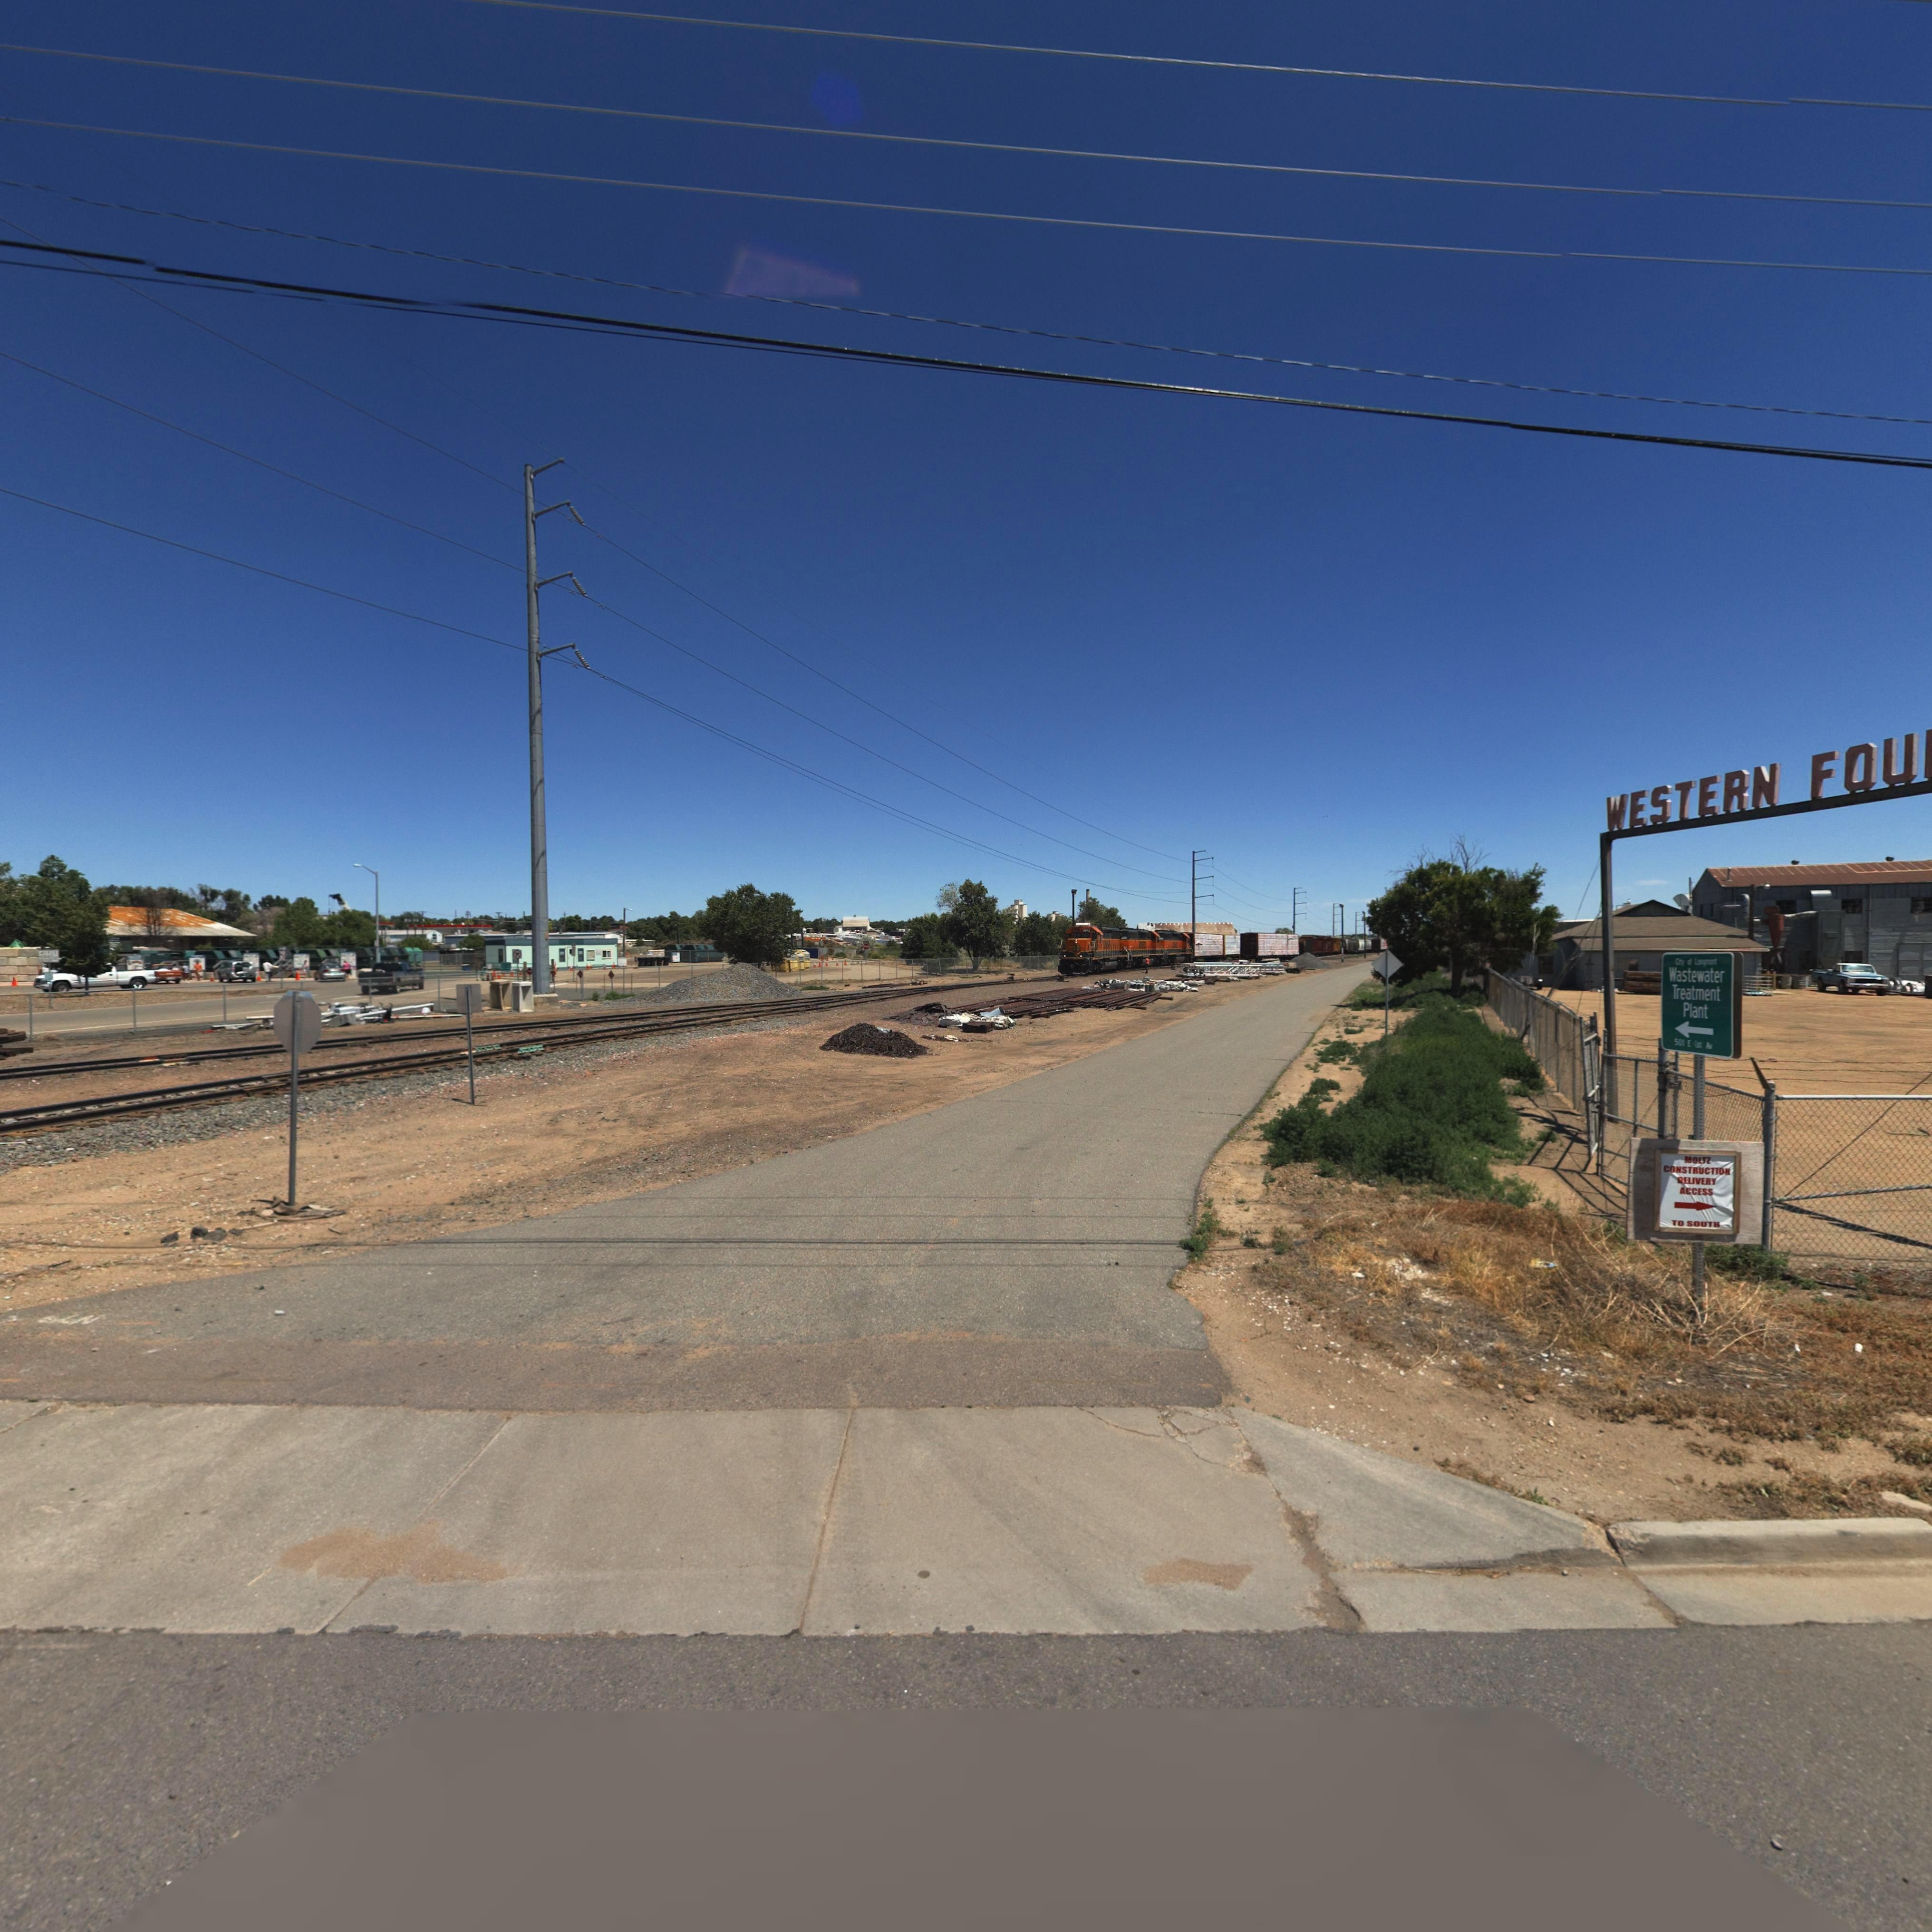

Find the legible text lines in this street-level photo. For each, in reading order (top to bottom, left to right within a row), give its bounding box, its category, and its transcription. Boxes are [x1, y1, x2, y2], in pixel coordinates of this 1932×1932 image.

[1604, 728, 1921, 832] BusinessName: WESTERN FOU
[1674, 957, 1718, 967] BusinessName: C*ty of Lo*g*ont
[1668, 966, 1725, 983] BusinessName: Wastewater
[1671, 984, 1722, 1002] BusinessName: Treatment
[1682, 1001, 1710, 1020] BusinessName: Plant
[1674, 1038, 1685, 1046] StreetNumber: 501
[1687, 1039, 1714, 1050] StreetName: E *st Av